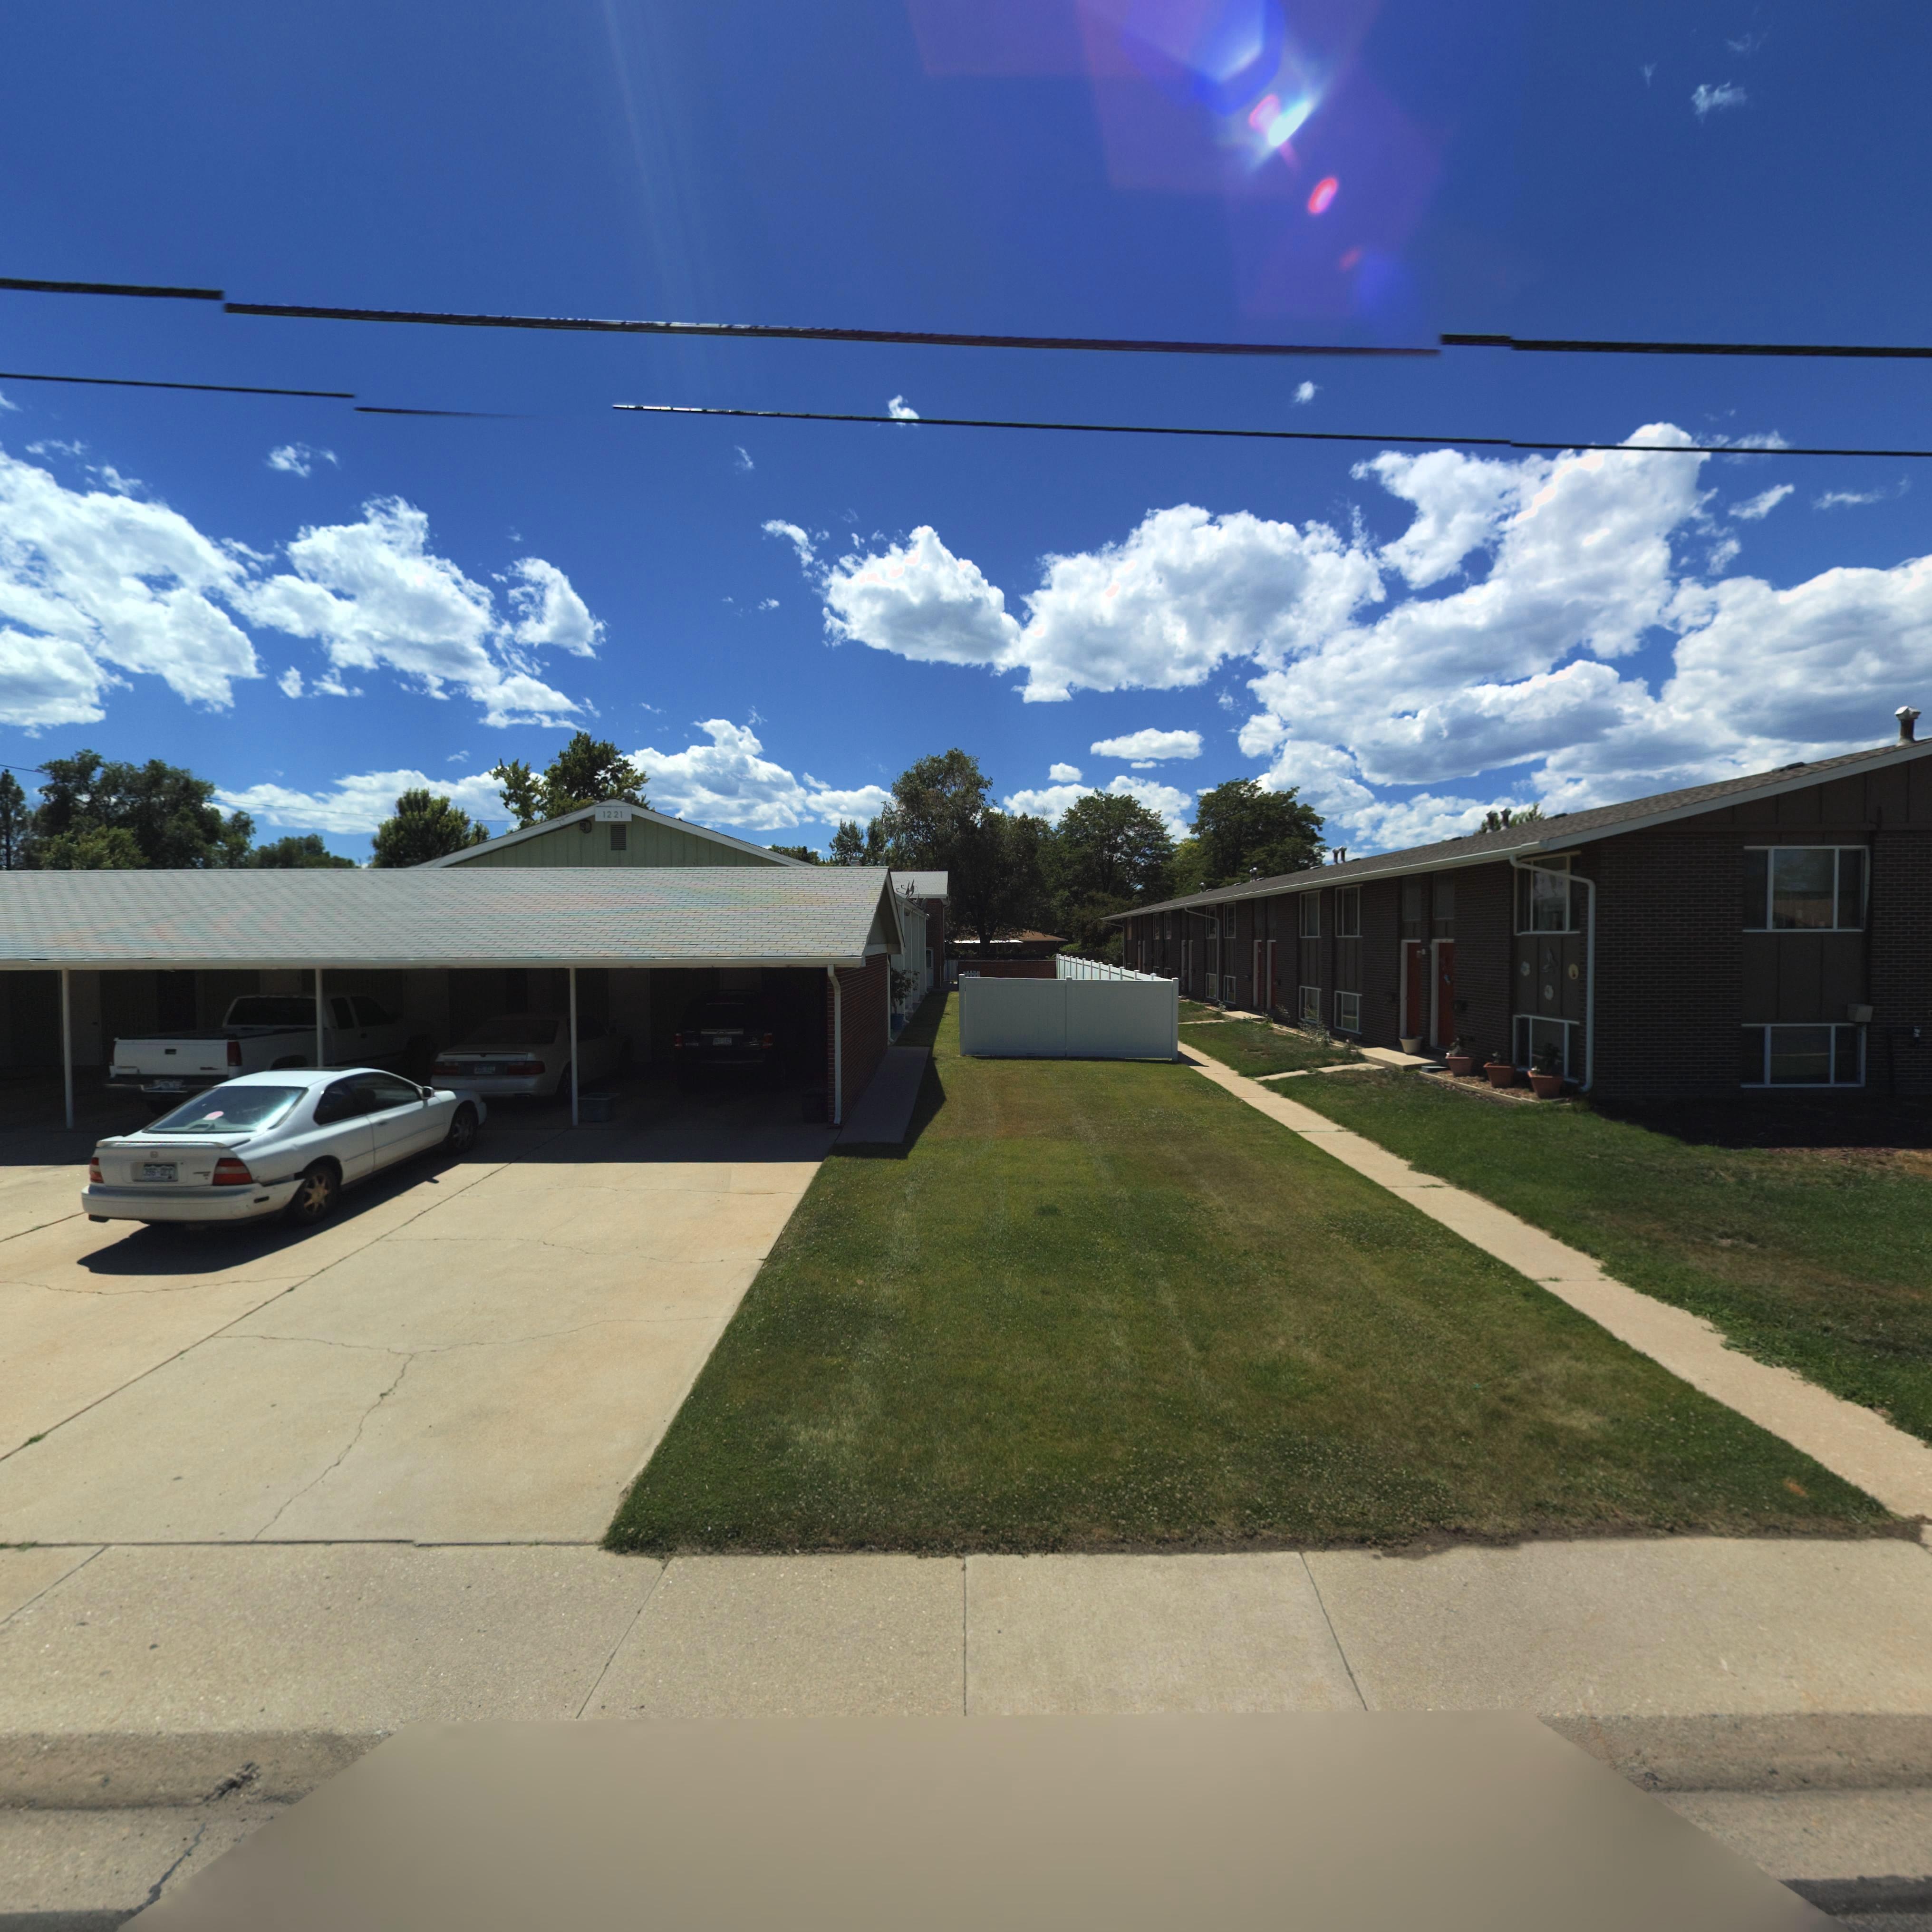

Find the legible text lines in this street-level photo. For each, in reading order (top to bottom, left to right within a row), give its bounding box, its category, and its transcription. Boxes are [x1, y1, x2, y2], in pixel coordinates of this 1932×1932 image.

[603, 811, 622, 818] StreetNumber: 1221